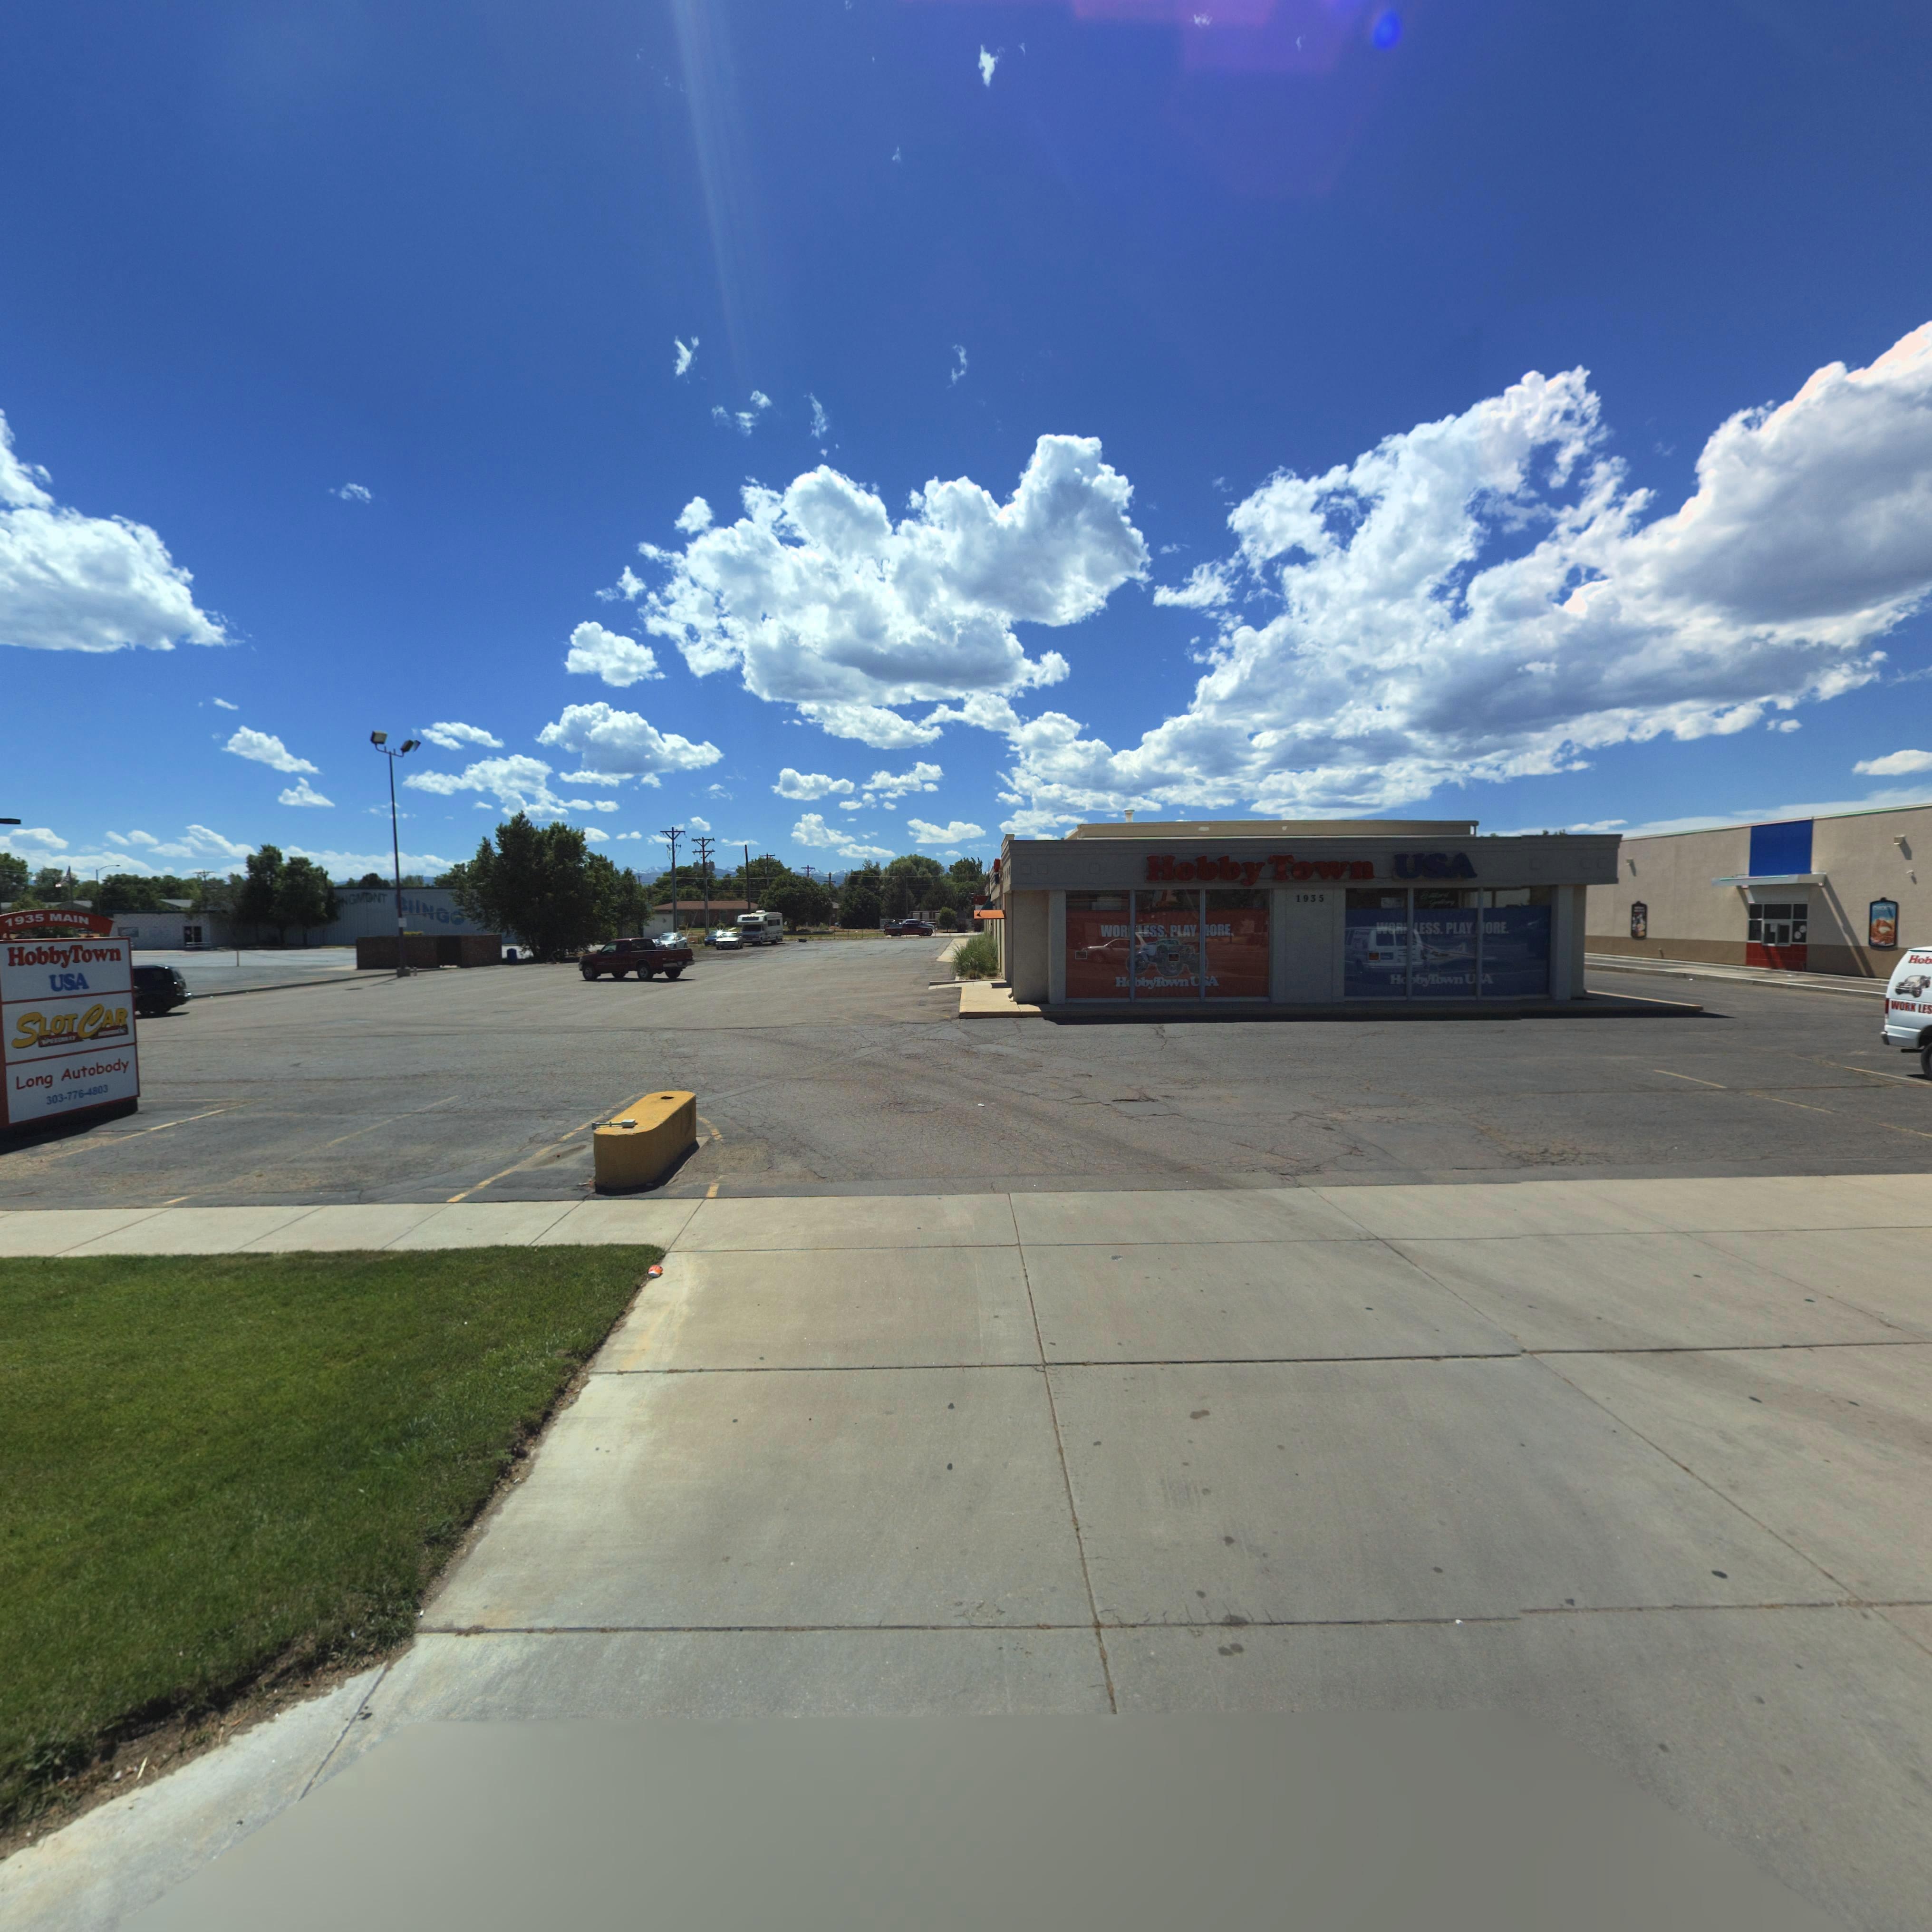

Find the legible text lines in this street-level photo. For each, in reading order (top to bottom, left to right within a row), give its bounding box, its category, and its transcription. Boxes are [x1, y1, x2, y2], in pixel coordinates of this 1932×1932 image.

[1145, 851, 1478, 887] BusinessName: Hobby Town USA
[340, 890, 465, 926] BusinessName: NGMONT *ING*
[1295, 893, 1324, 903] StreetNumber: 1935
[4, 913, 44, 927] StreetNumber: 1935
[49, 913, 89, 925] StreetName: MAIN
[6, 944, 122, 968] BusinessName: HobbyTown
[48, 972, 90, 992] BusinessName: USA
[1114, 975, 1219, 989] BusinessName: H*bbyTown U*A
[1389, 973, 1494, 987] BusinessName: H**byTown U*A
[10, 1003, 128, 1049] BusinessName: SLOT CAR
[15, 1057, 129, 1090] BusinessName: Long Autobody